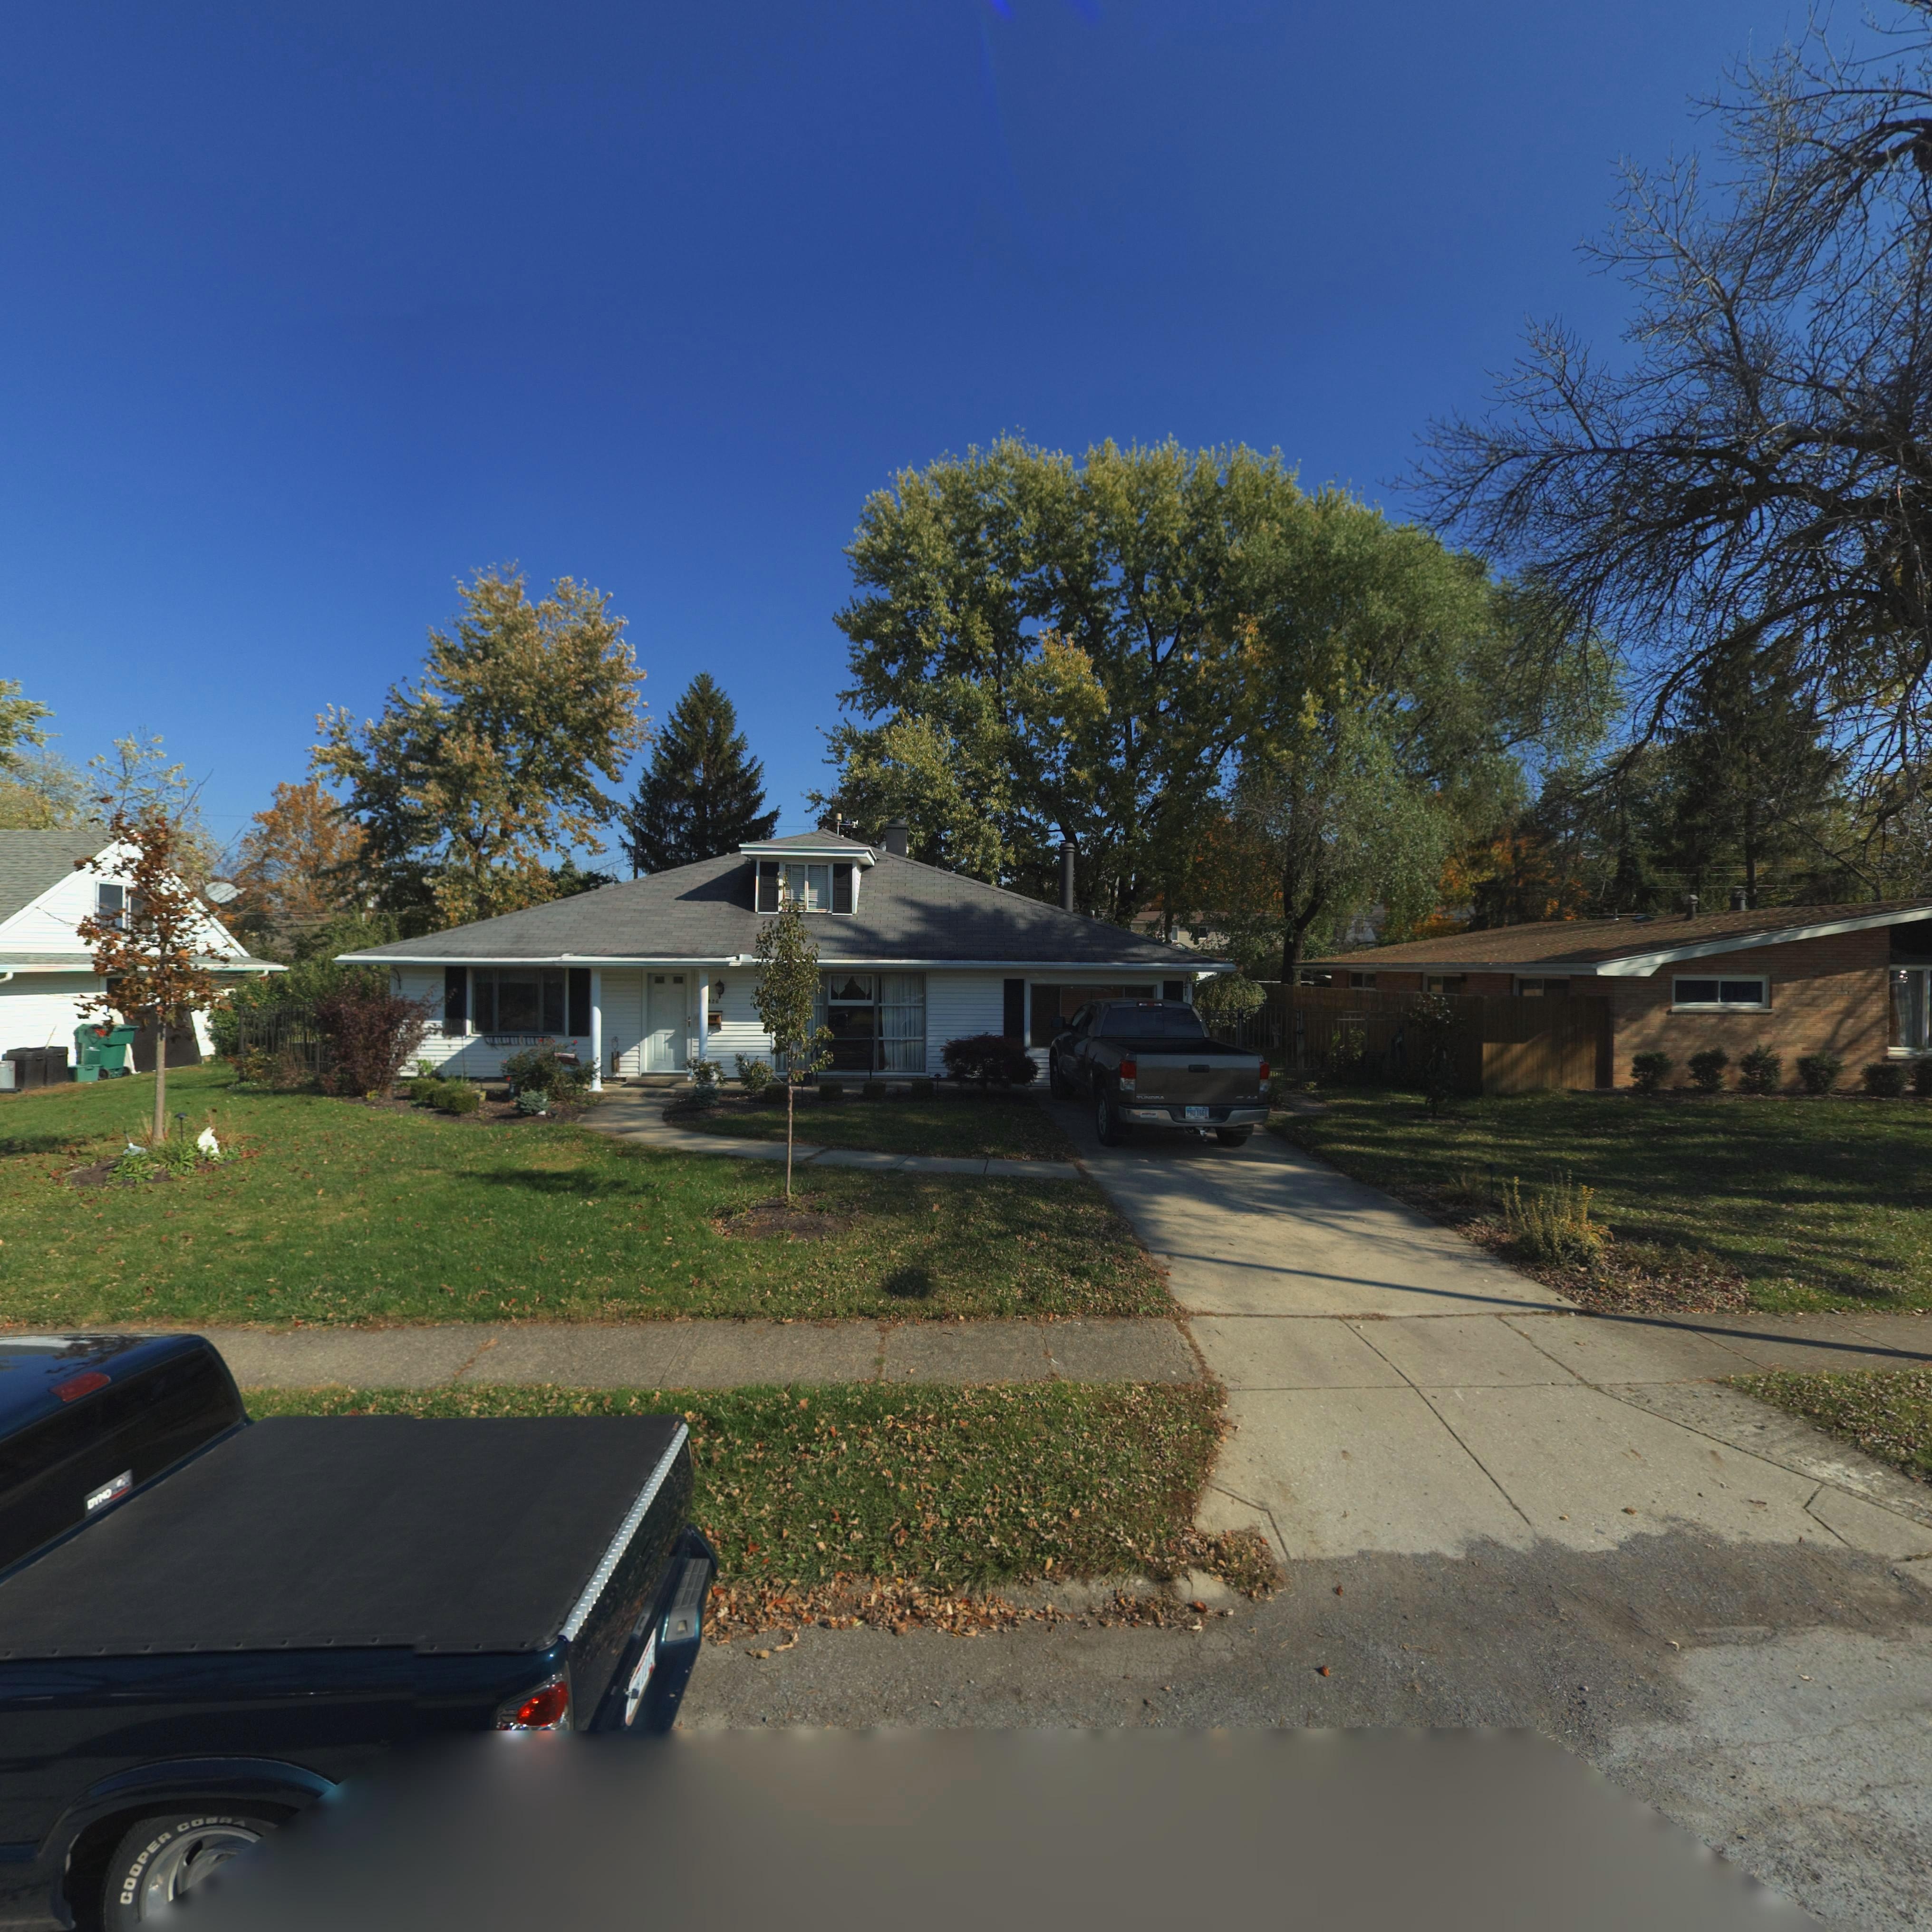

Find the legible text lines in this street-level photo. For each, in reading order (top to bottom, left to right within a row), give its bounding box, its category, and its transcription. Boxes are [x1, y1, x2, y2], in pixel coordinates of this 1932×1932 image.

[711, 999, 719, 1004] StreetNumber: 26
[1135, 1095, 1165, 1100] None: TUNDRA
[1246, 1096, 1258, 1100] None: 4*4
[1186, 1109, 1207, 1116] None: P*U*1651
[85, 1478, 127, 1512] None: DYNO 4
[118, 1815, 248, 1905] None: COOPER CO*RA